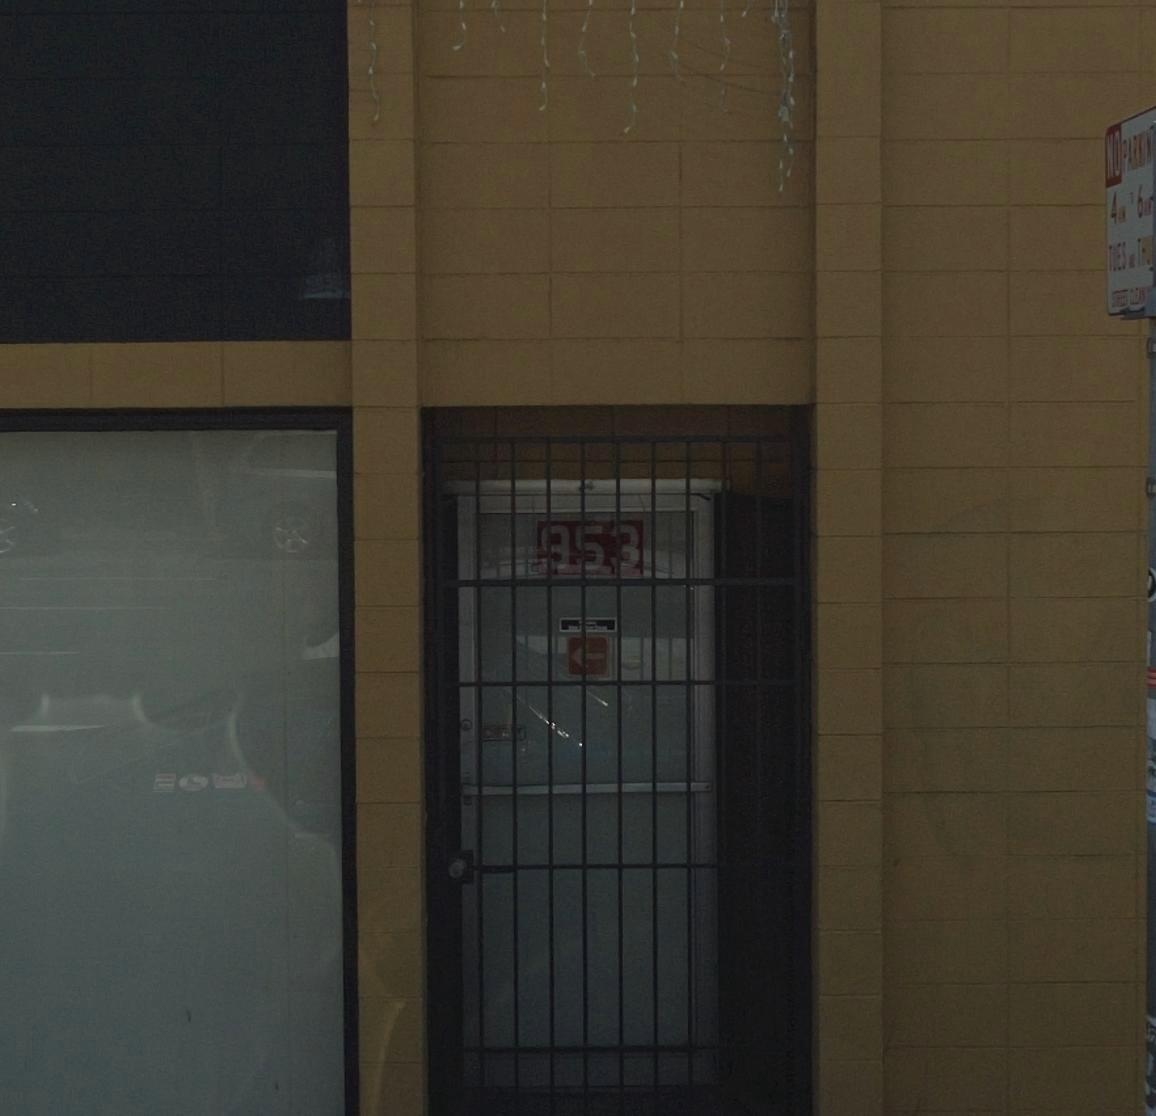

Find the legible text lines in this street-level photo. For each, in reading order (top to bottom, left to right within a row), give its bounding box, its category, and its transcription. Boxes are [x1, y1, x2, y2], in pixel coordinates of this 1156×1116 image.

[1105, 127, 1138, 183] None: NO PAR
[1109, 181, 1152, 227] None: 4AM TO 6AM
[1108, 239, 1126, 274] None: TUES
[541, 522, 644, 574] StreetNumber: 953